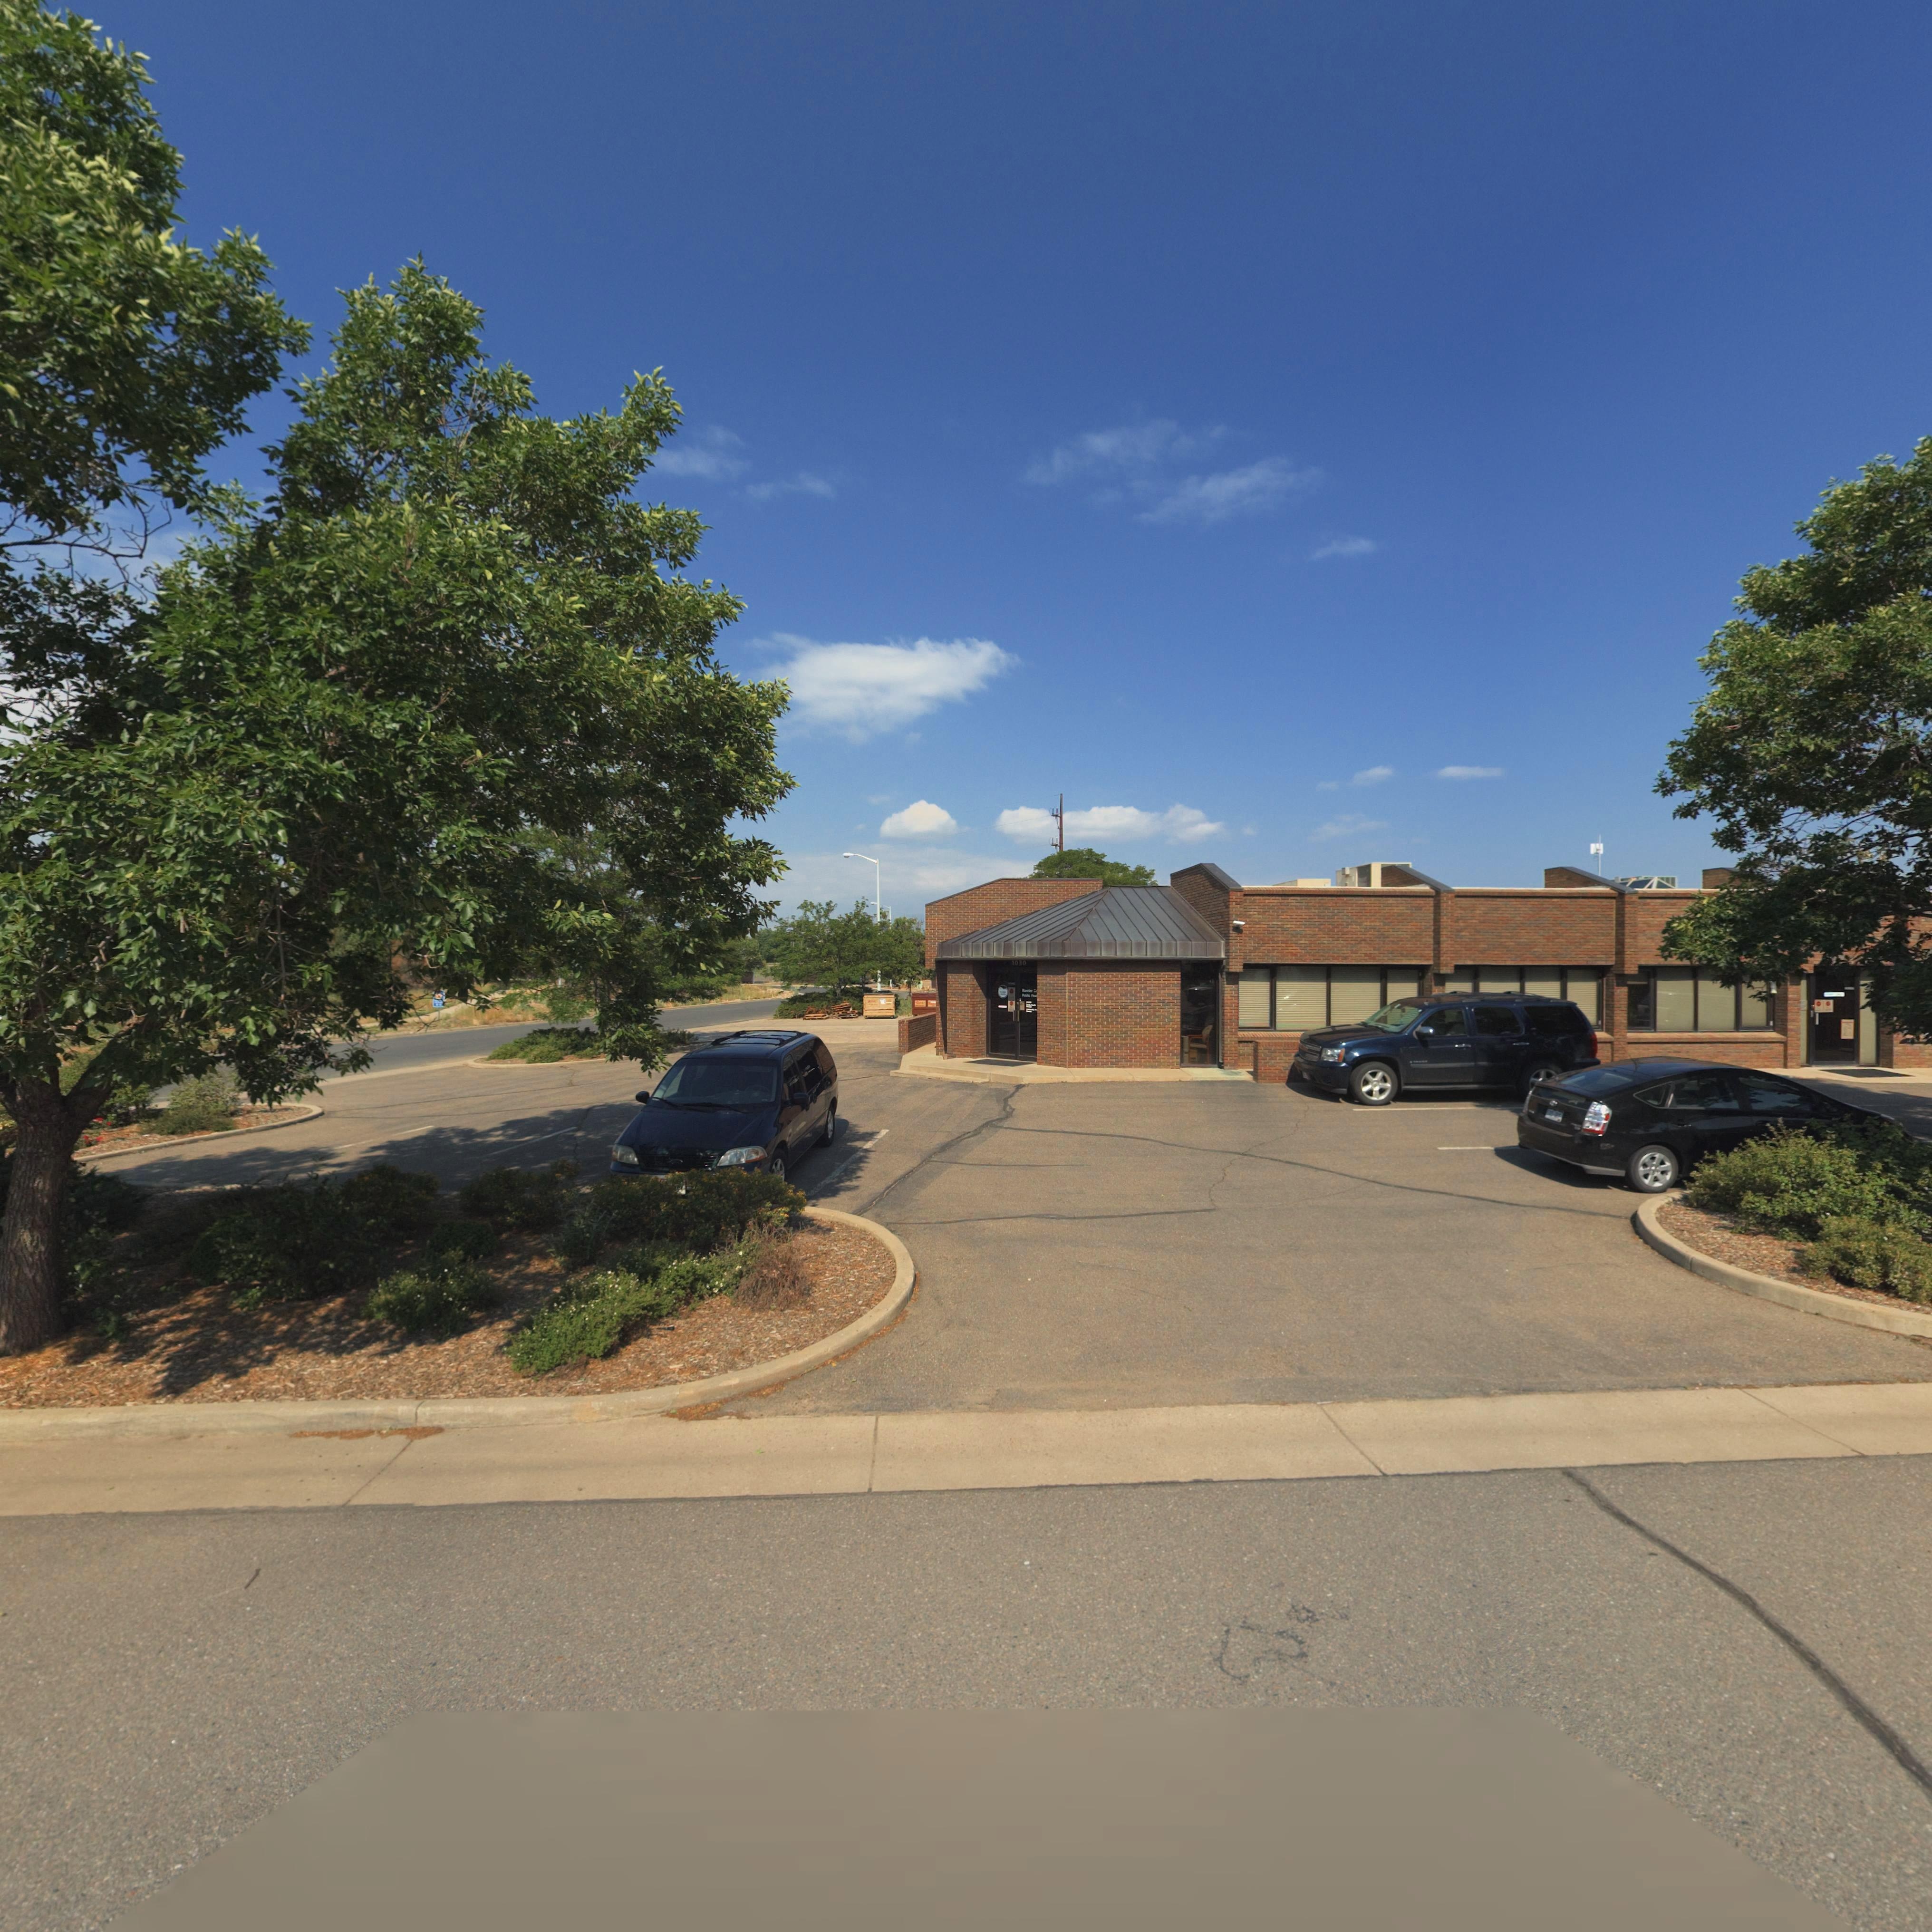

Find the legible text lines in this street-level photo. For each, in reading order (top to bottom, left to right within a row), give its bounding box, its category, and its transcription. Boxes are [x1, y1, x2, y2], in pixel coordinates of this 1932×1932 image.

[1011, 960, 1026, 966] StreetNumber: 1030